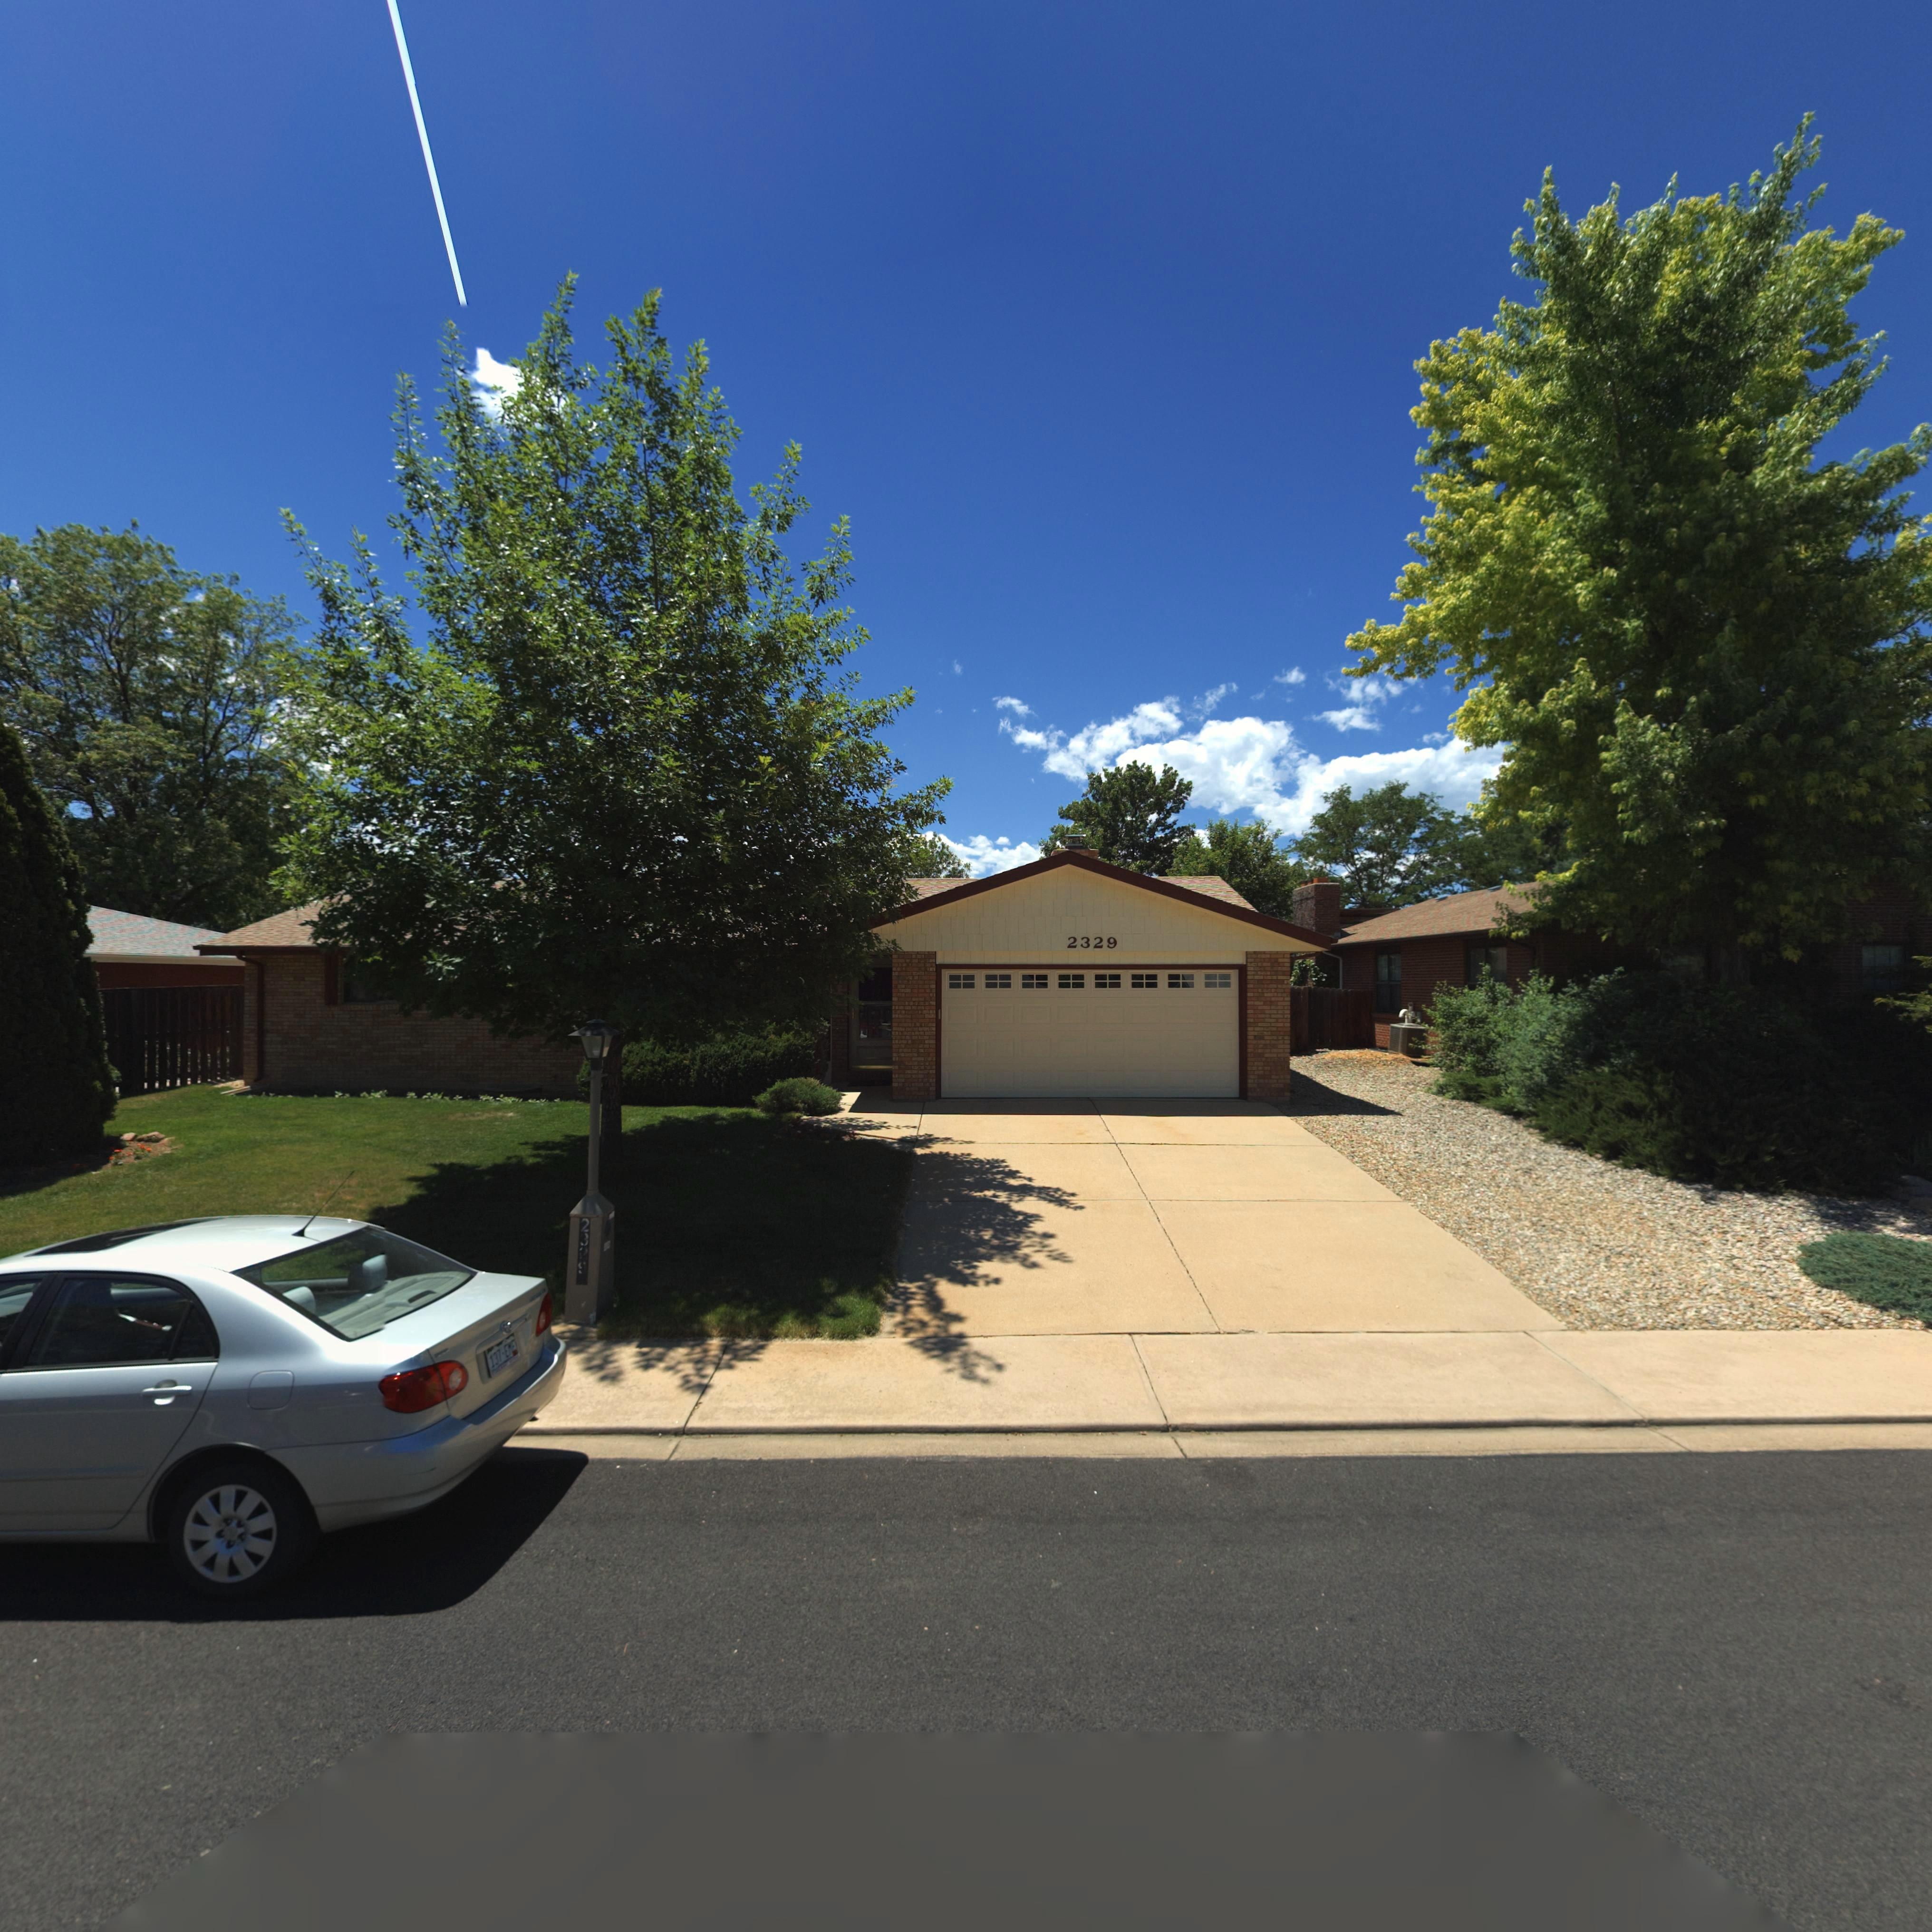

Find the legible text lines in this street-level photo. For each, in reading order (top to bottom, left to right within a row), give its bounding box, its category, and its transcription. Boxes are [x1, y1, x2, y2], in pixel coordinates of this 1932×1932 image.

[1067, 936, 1117, 949] StreetNumber: 2329
[577, 1217, 589, 1275] StreetNumber: 2329